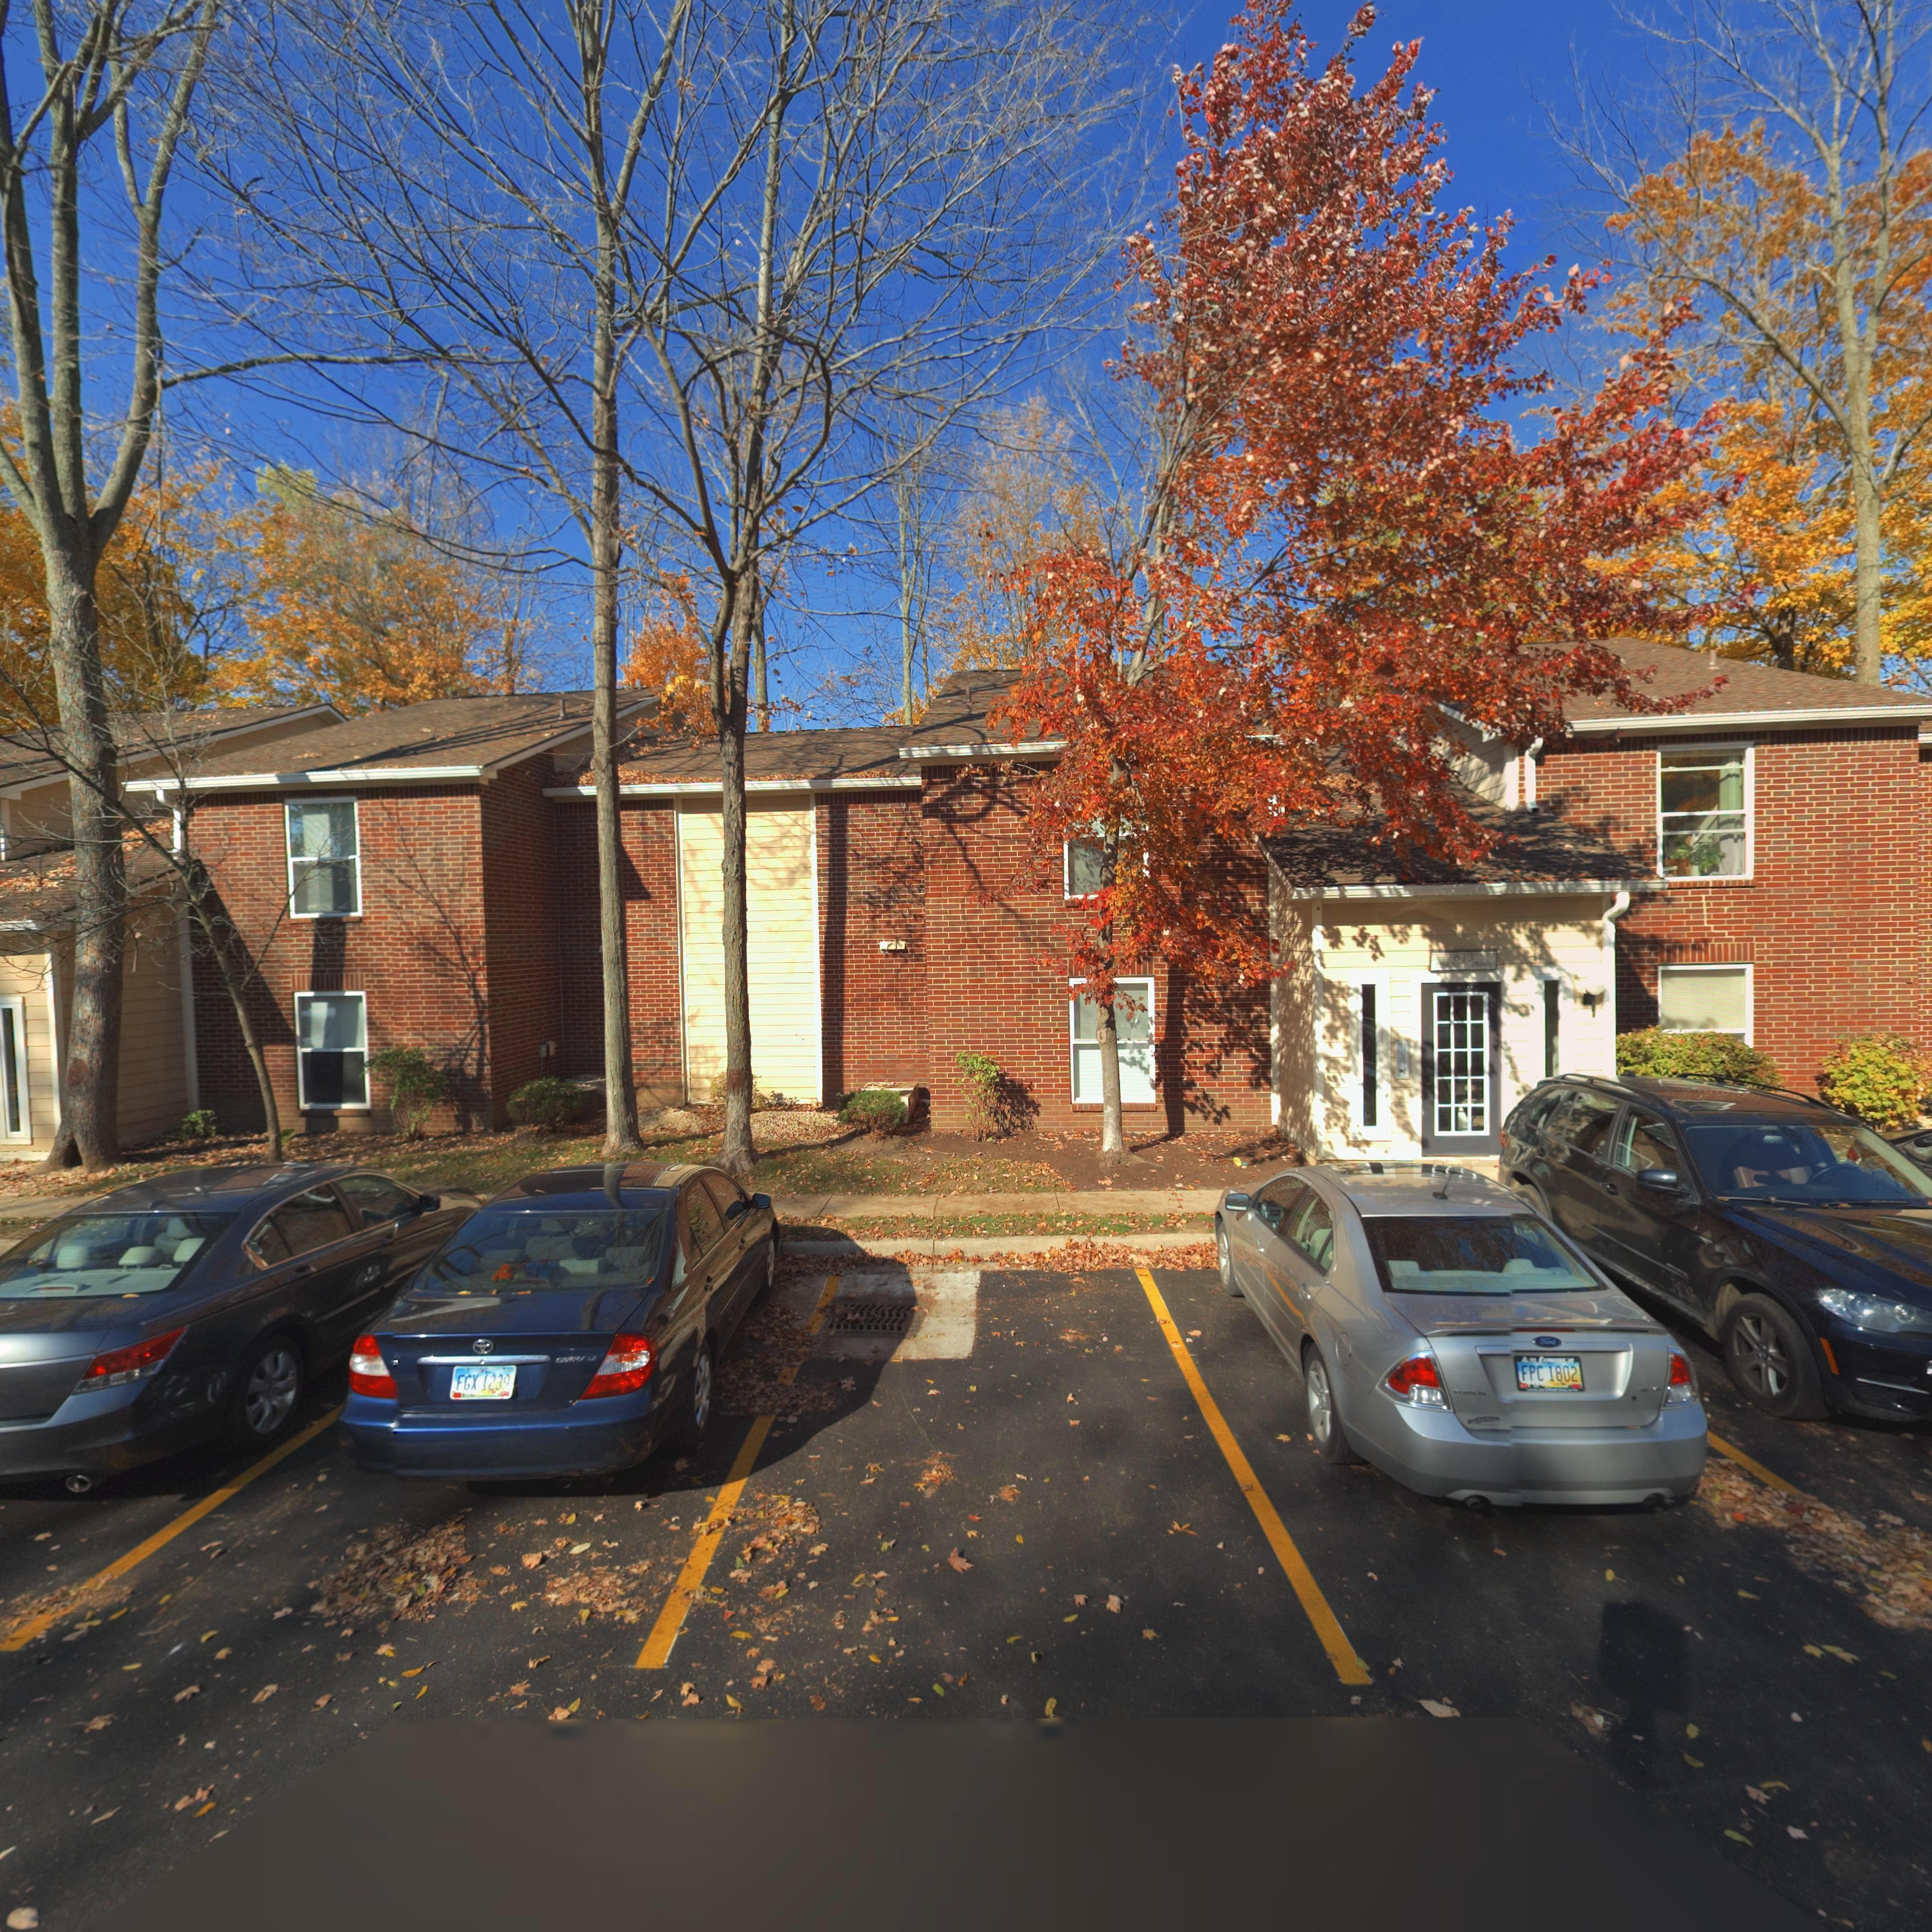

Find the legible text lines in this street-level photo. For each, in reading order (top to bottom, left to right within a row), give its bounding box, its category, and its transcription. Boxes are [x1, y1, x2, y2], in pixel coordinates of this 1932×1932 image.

[1453, 951, 1475, 963] StreetNumber: 613
[454, 1371, 512, 1392] None: FGX 123*
[1521, 1364, 1579, 1383] None: FPC 1802